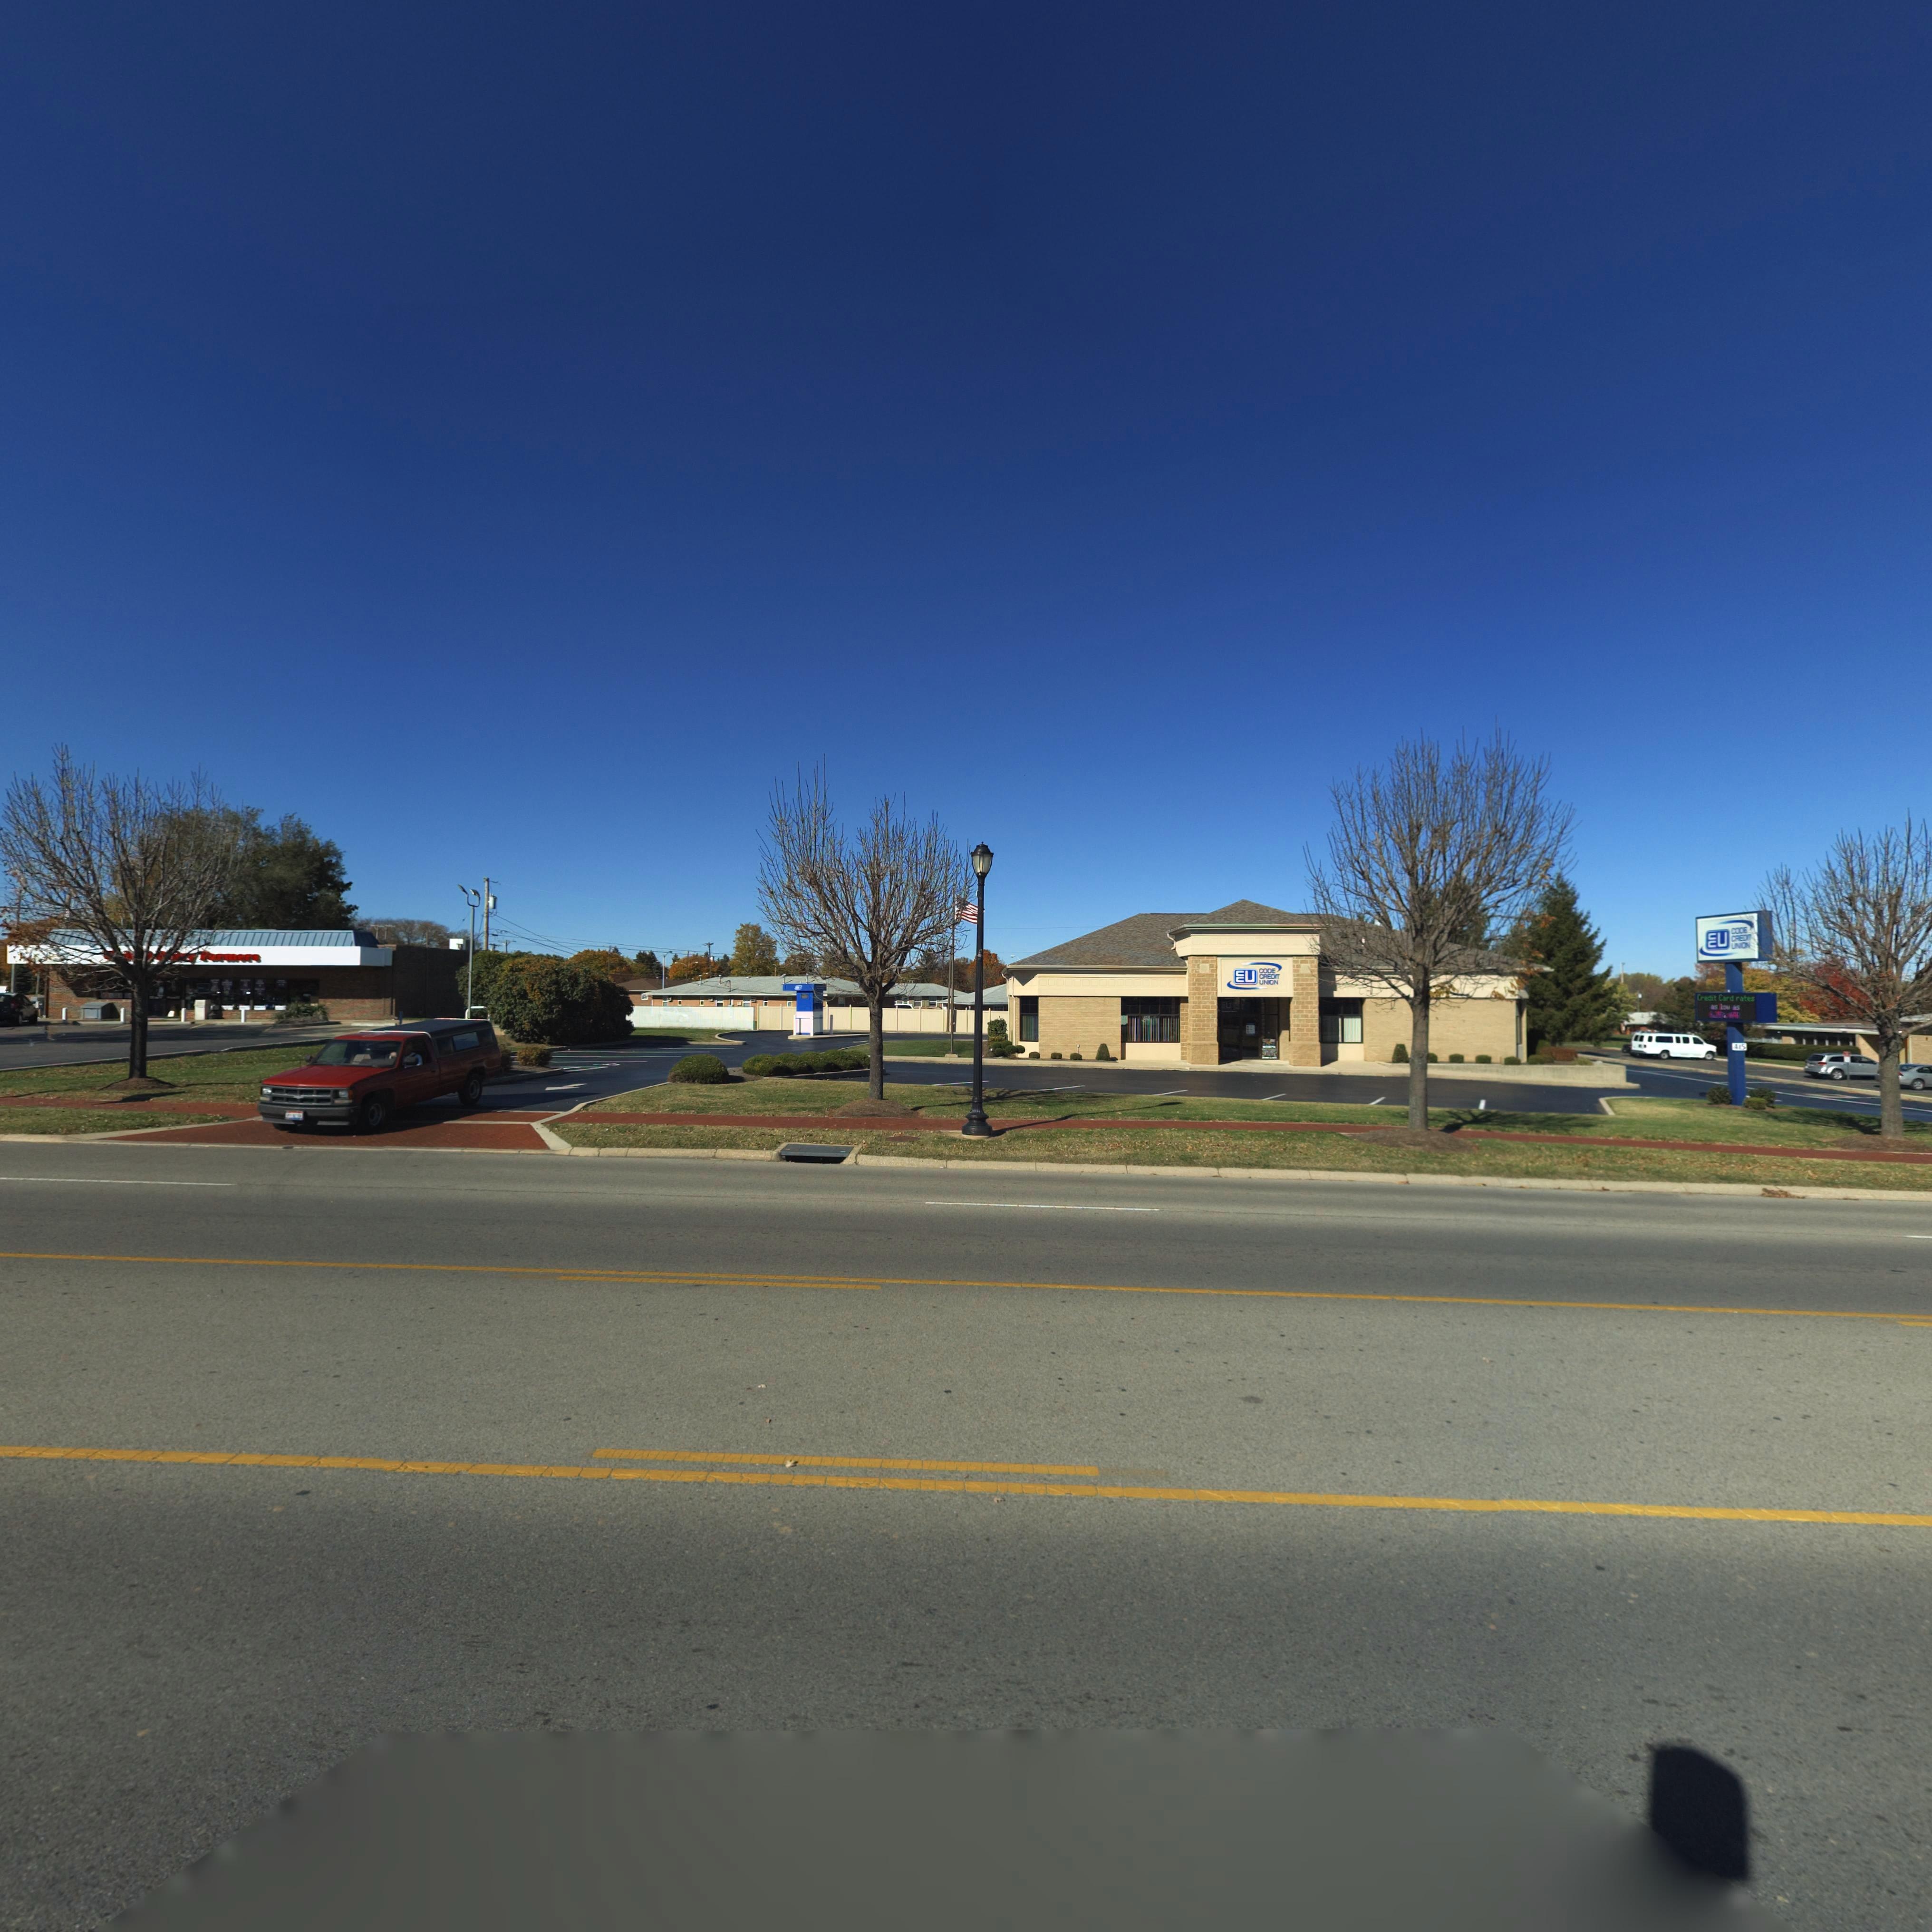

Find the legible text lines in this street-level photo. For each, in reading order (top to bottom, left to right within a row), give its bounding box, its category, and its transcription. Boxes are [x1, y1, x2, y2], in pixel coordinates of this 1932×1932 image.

[1730, 927, 1748, 935] BusinessName: COOE
[1730, 934, 1752, 942] BusinessName: CREDIT
[1730, 941, 1751, 950] BusinessName: UNION
[199, 951, 261, 963] BusinessName: Farmers
[1259, 968, 1276, 974] BusinessName: COOE
[1258, 973, 1281, 980] BusinessName: CREDIT
[1258, 980, 1279, 985] BusinessName: UNION
[1696, 993, 1756, 1003] None: Credit Card rates
[1710, 1003, 1741, 1011] None: ass low as
[1732, 1043, 1747, 1051] StreetNumber: 415